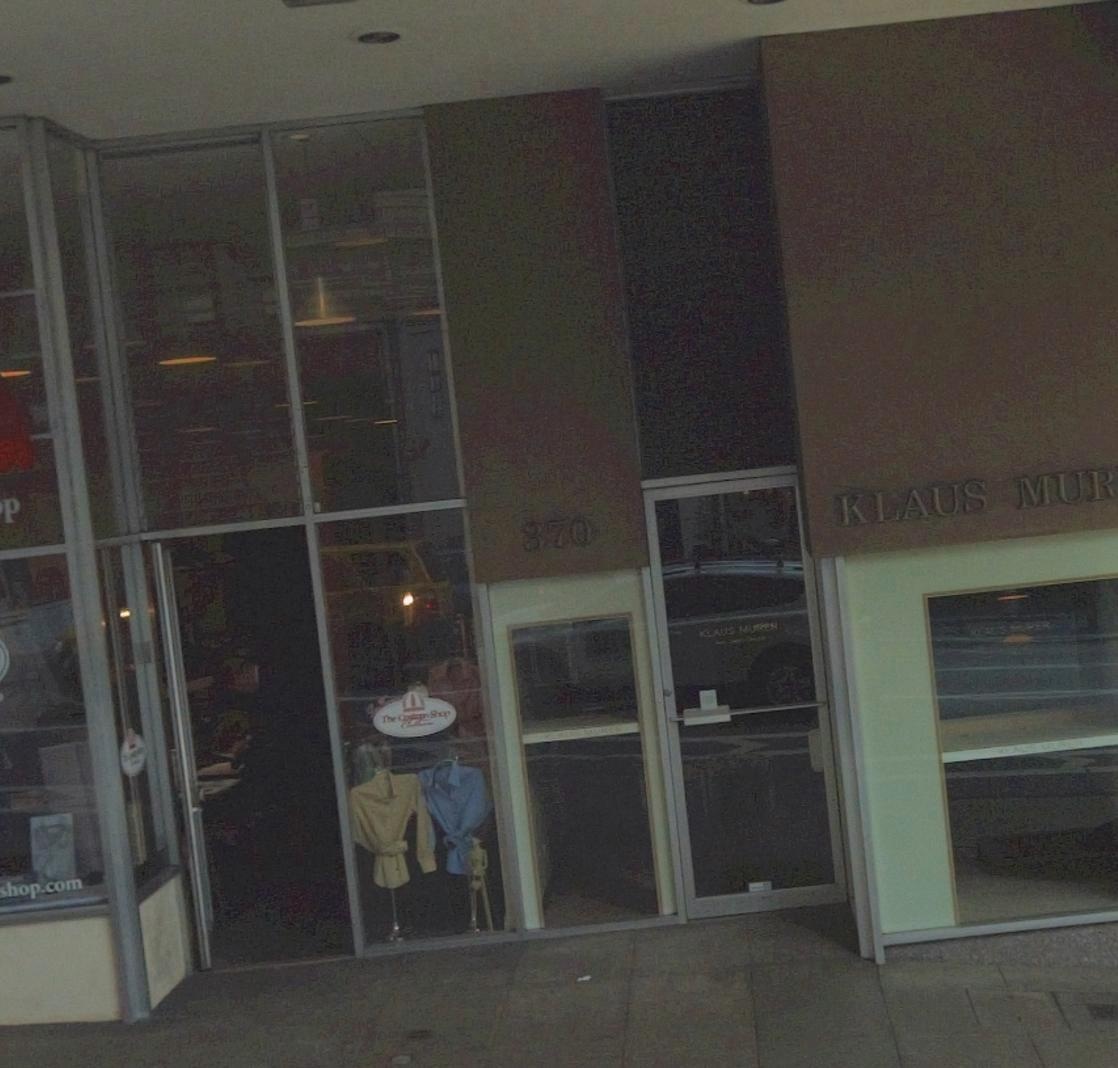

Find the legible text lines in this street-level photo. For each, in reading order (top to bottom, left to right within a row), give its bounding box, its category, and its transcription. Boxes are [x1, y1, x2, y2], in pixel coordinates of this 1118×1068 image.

[1, 492, 28, 528] None: P
[835, 462, 1118, 534] BusinessName: KLAUS MUR
[514, 514, 599, 558] StreetNumber: 370
[696, 618, 782, 641] BusinessName: KLA&US MURER
[380, 713, 399, 726] BusinessName: The
[429, 707, 453, 723] BusinessName: Shop
[4, 875, 87, 909] None: hop.com